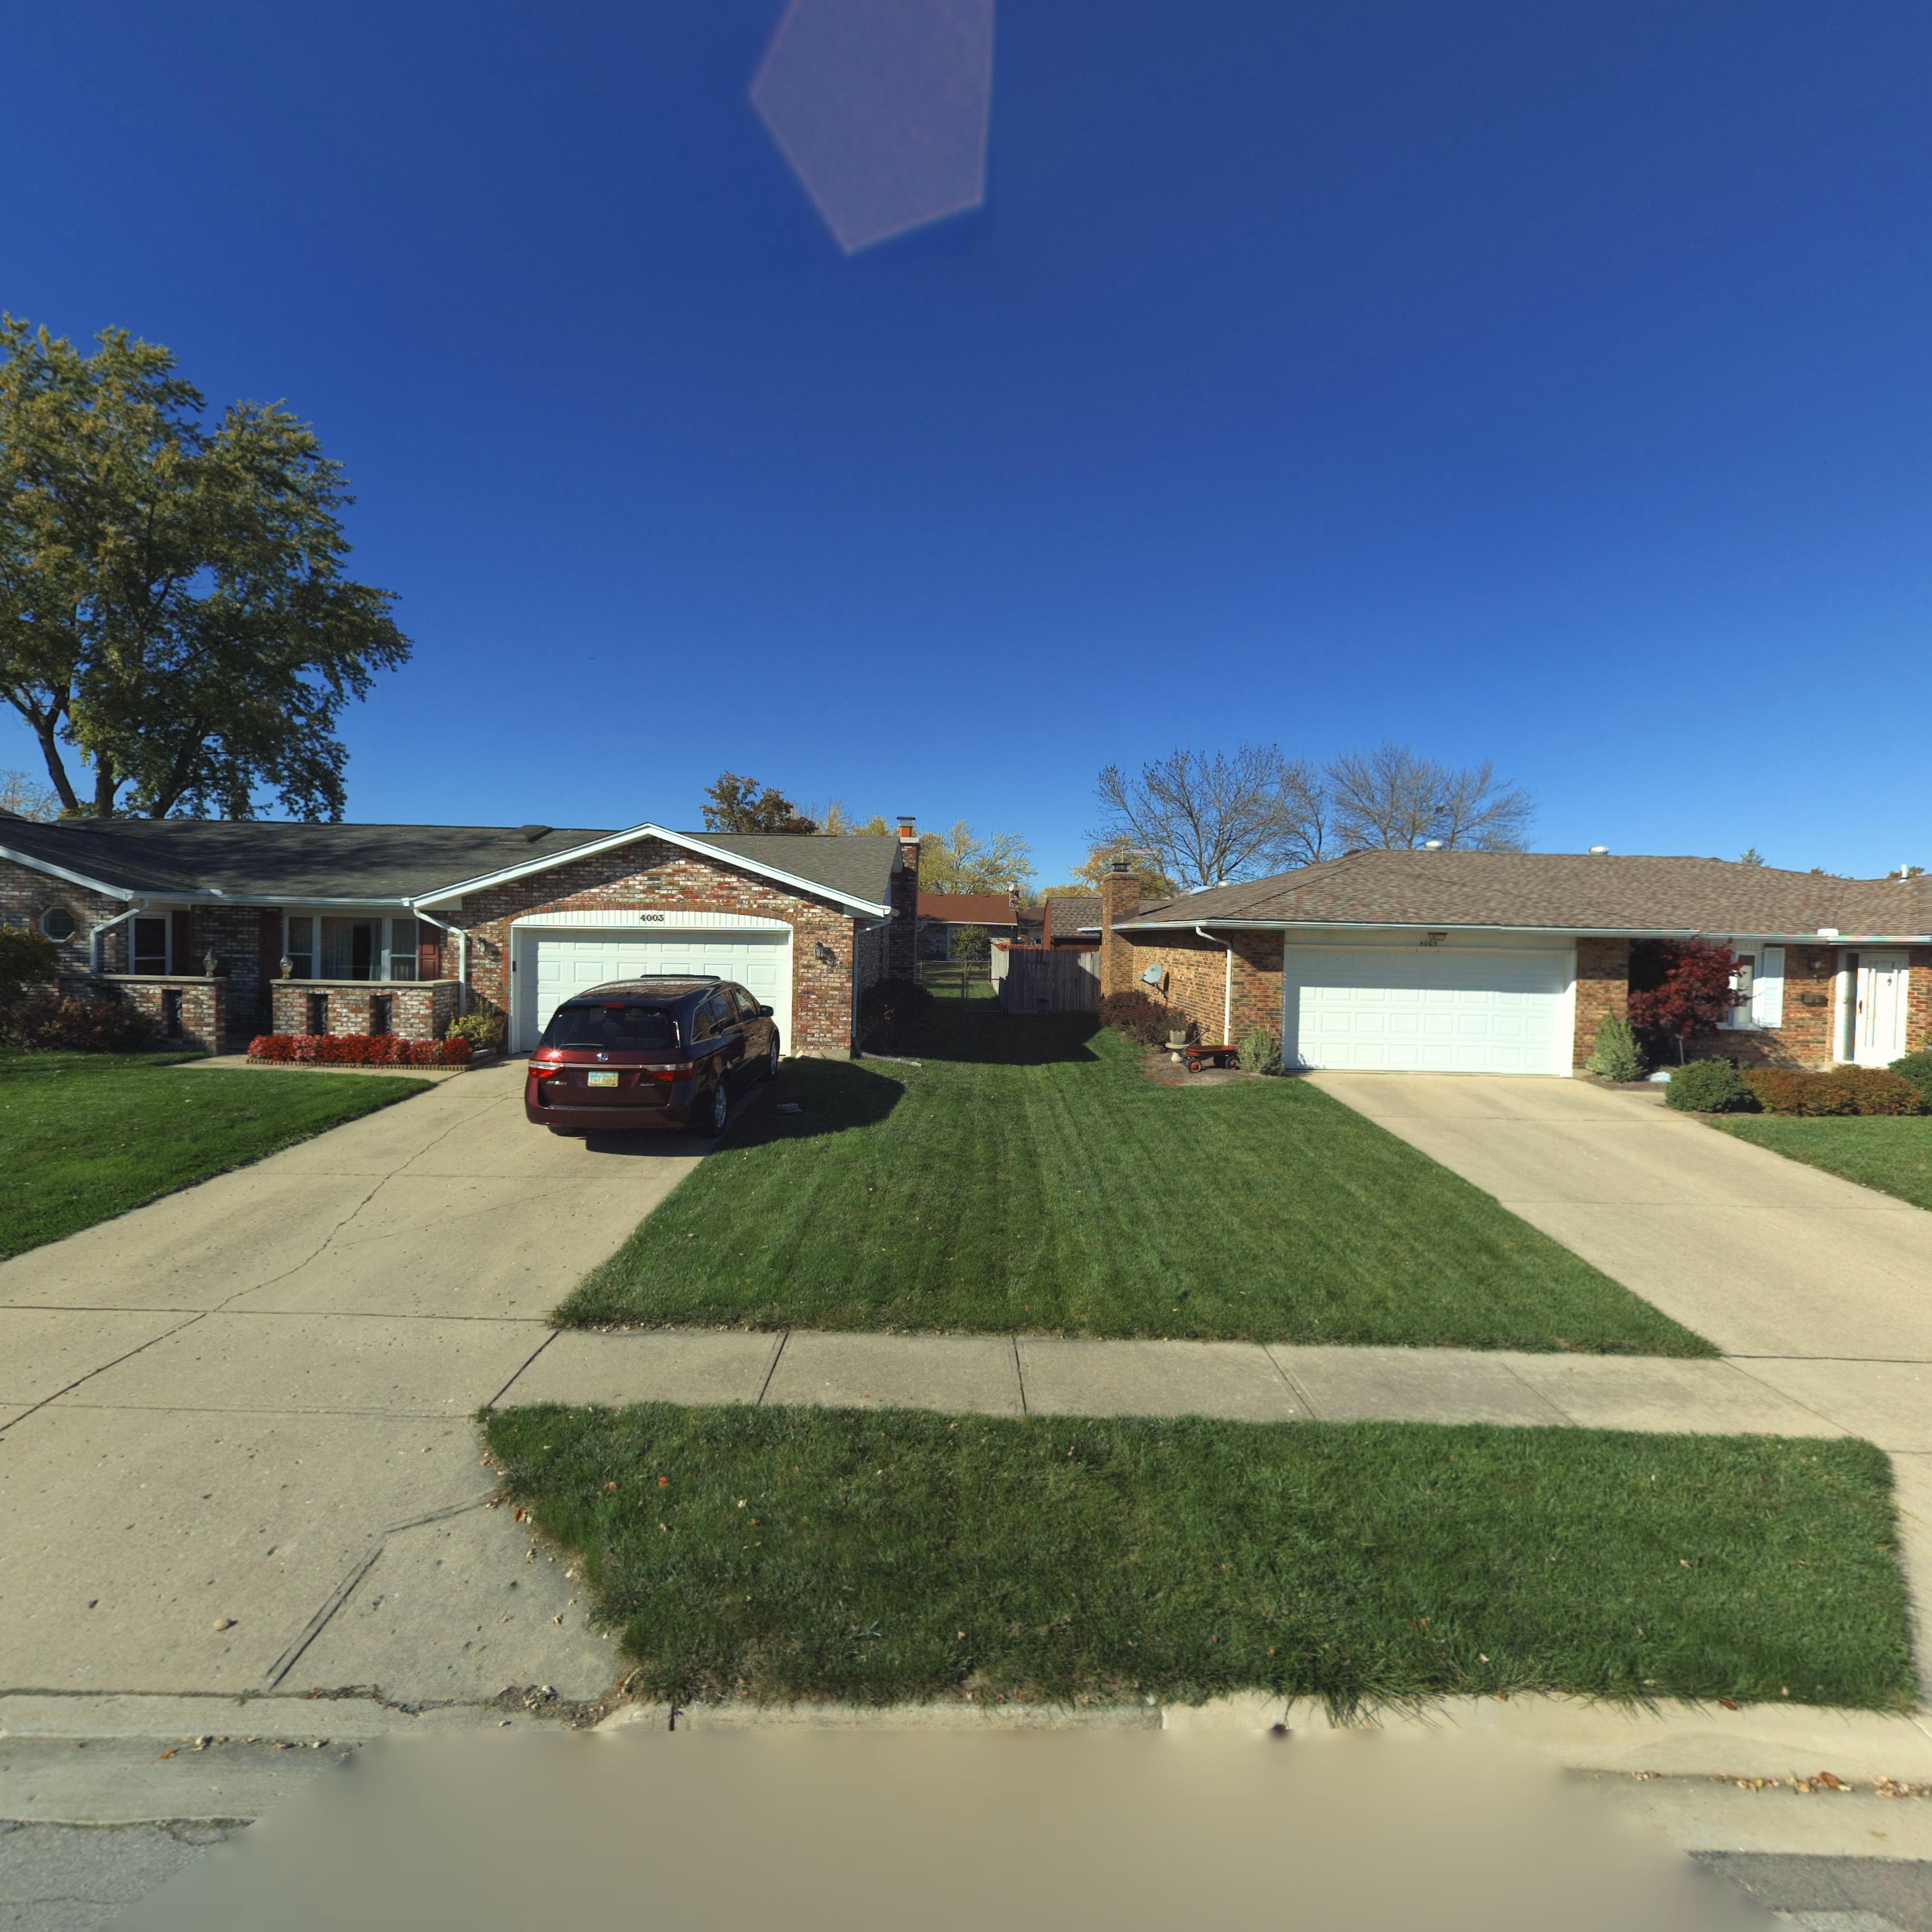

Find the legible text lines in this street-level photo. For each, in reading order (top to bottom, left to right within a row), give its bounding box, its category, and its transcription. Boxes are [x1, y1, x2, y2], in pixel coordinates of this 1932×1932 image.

[640, 914, 664, 922] StreetNumber: 4003
[1419, 940, 1438, 947] StreetNumber: 4005